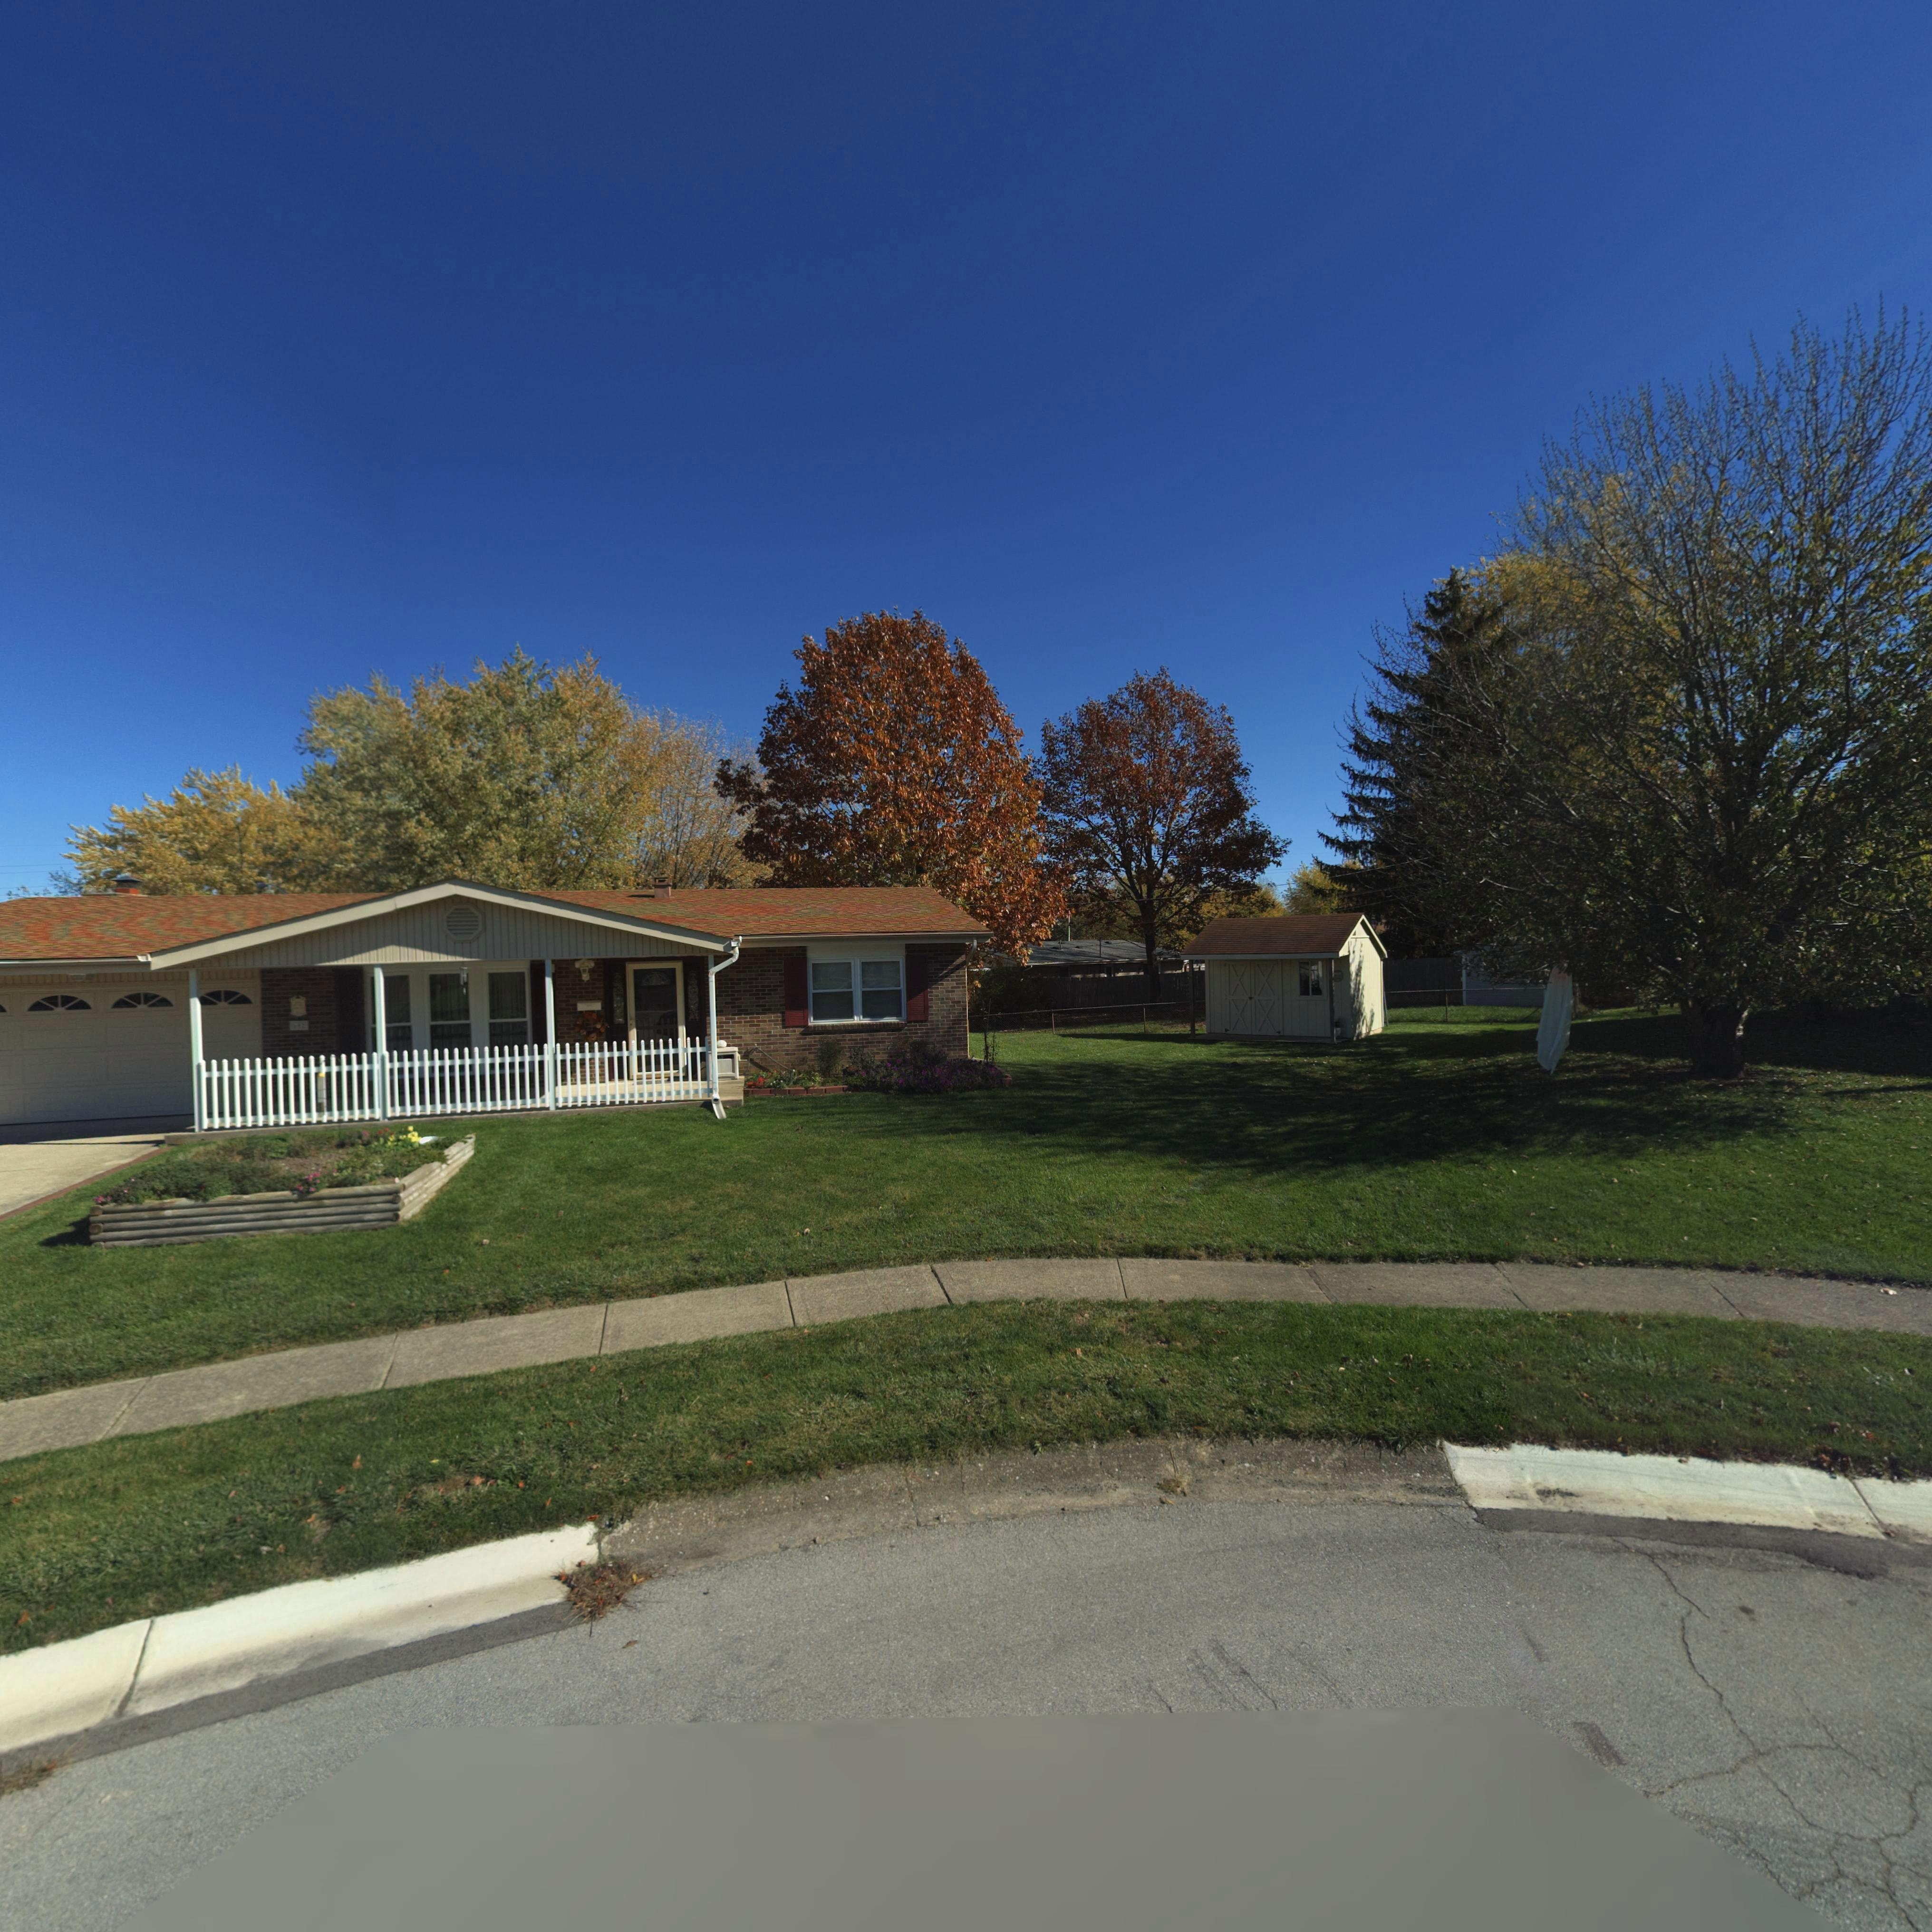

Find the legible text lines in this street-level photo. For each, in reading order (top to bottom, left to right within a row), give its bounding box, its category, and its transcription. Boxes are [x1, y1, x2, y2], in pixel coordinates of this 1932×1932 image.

[292, 1022, 306, 1030] StreetNumber: 6*2